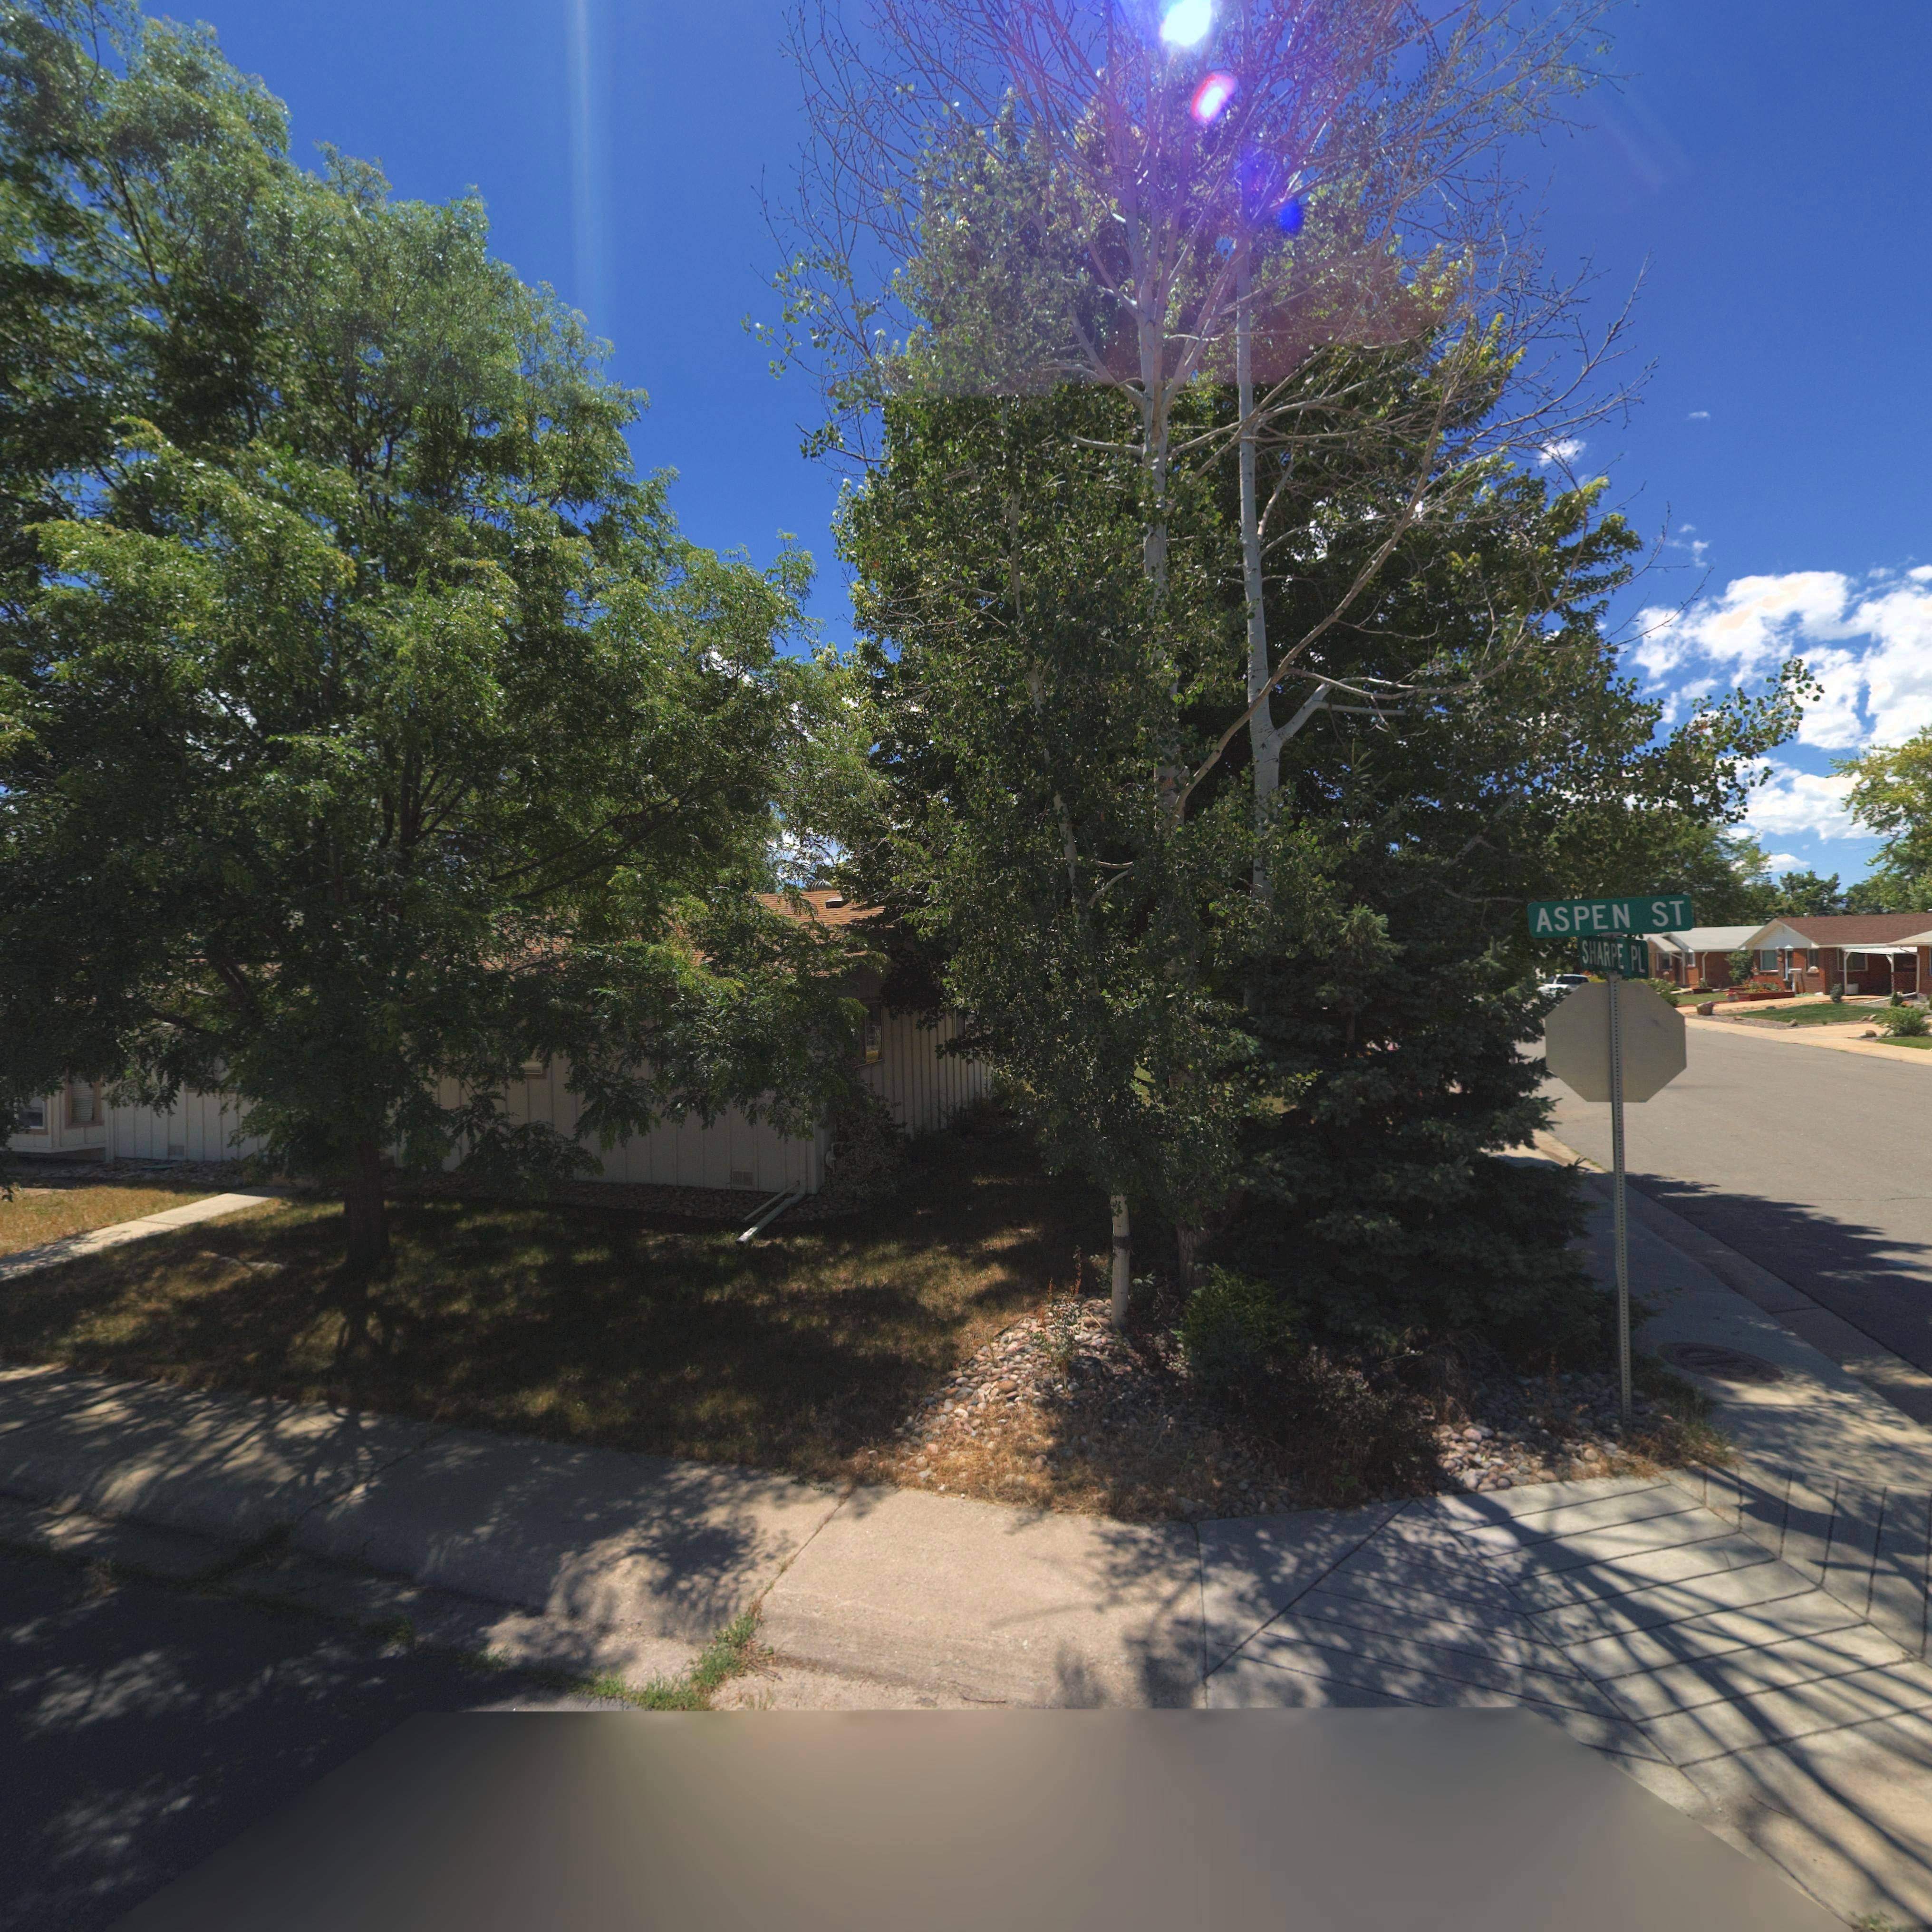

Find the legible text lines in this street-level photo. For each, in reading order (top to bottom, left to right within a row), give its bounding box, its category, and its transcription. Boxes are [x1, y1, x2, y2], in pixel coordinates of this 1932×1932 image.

[1536, 899, 1684, 933] BusinessName: ASPEN ST
[1581, 939, 1646, 974] StreetName: SHARPE PL